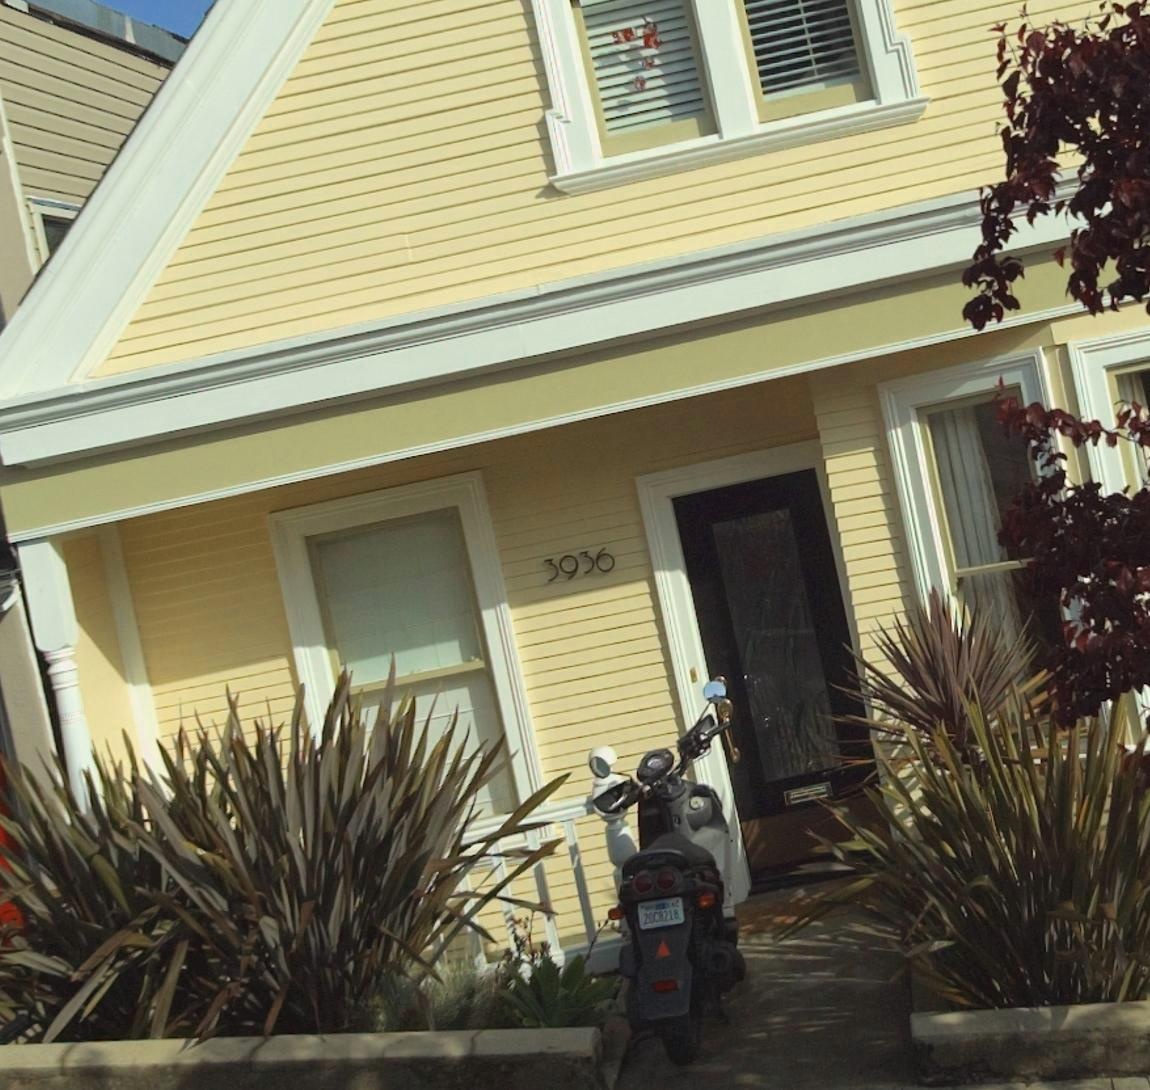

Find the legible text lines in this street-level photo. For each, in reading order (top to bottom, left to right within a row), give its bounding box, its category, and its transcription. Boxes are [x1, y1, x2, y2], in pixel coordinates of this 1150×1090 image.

[542, 544, 619, 585] StreetNumber: 3936
[642, 908, 680, 925] None: 20C8218